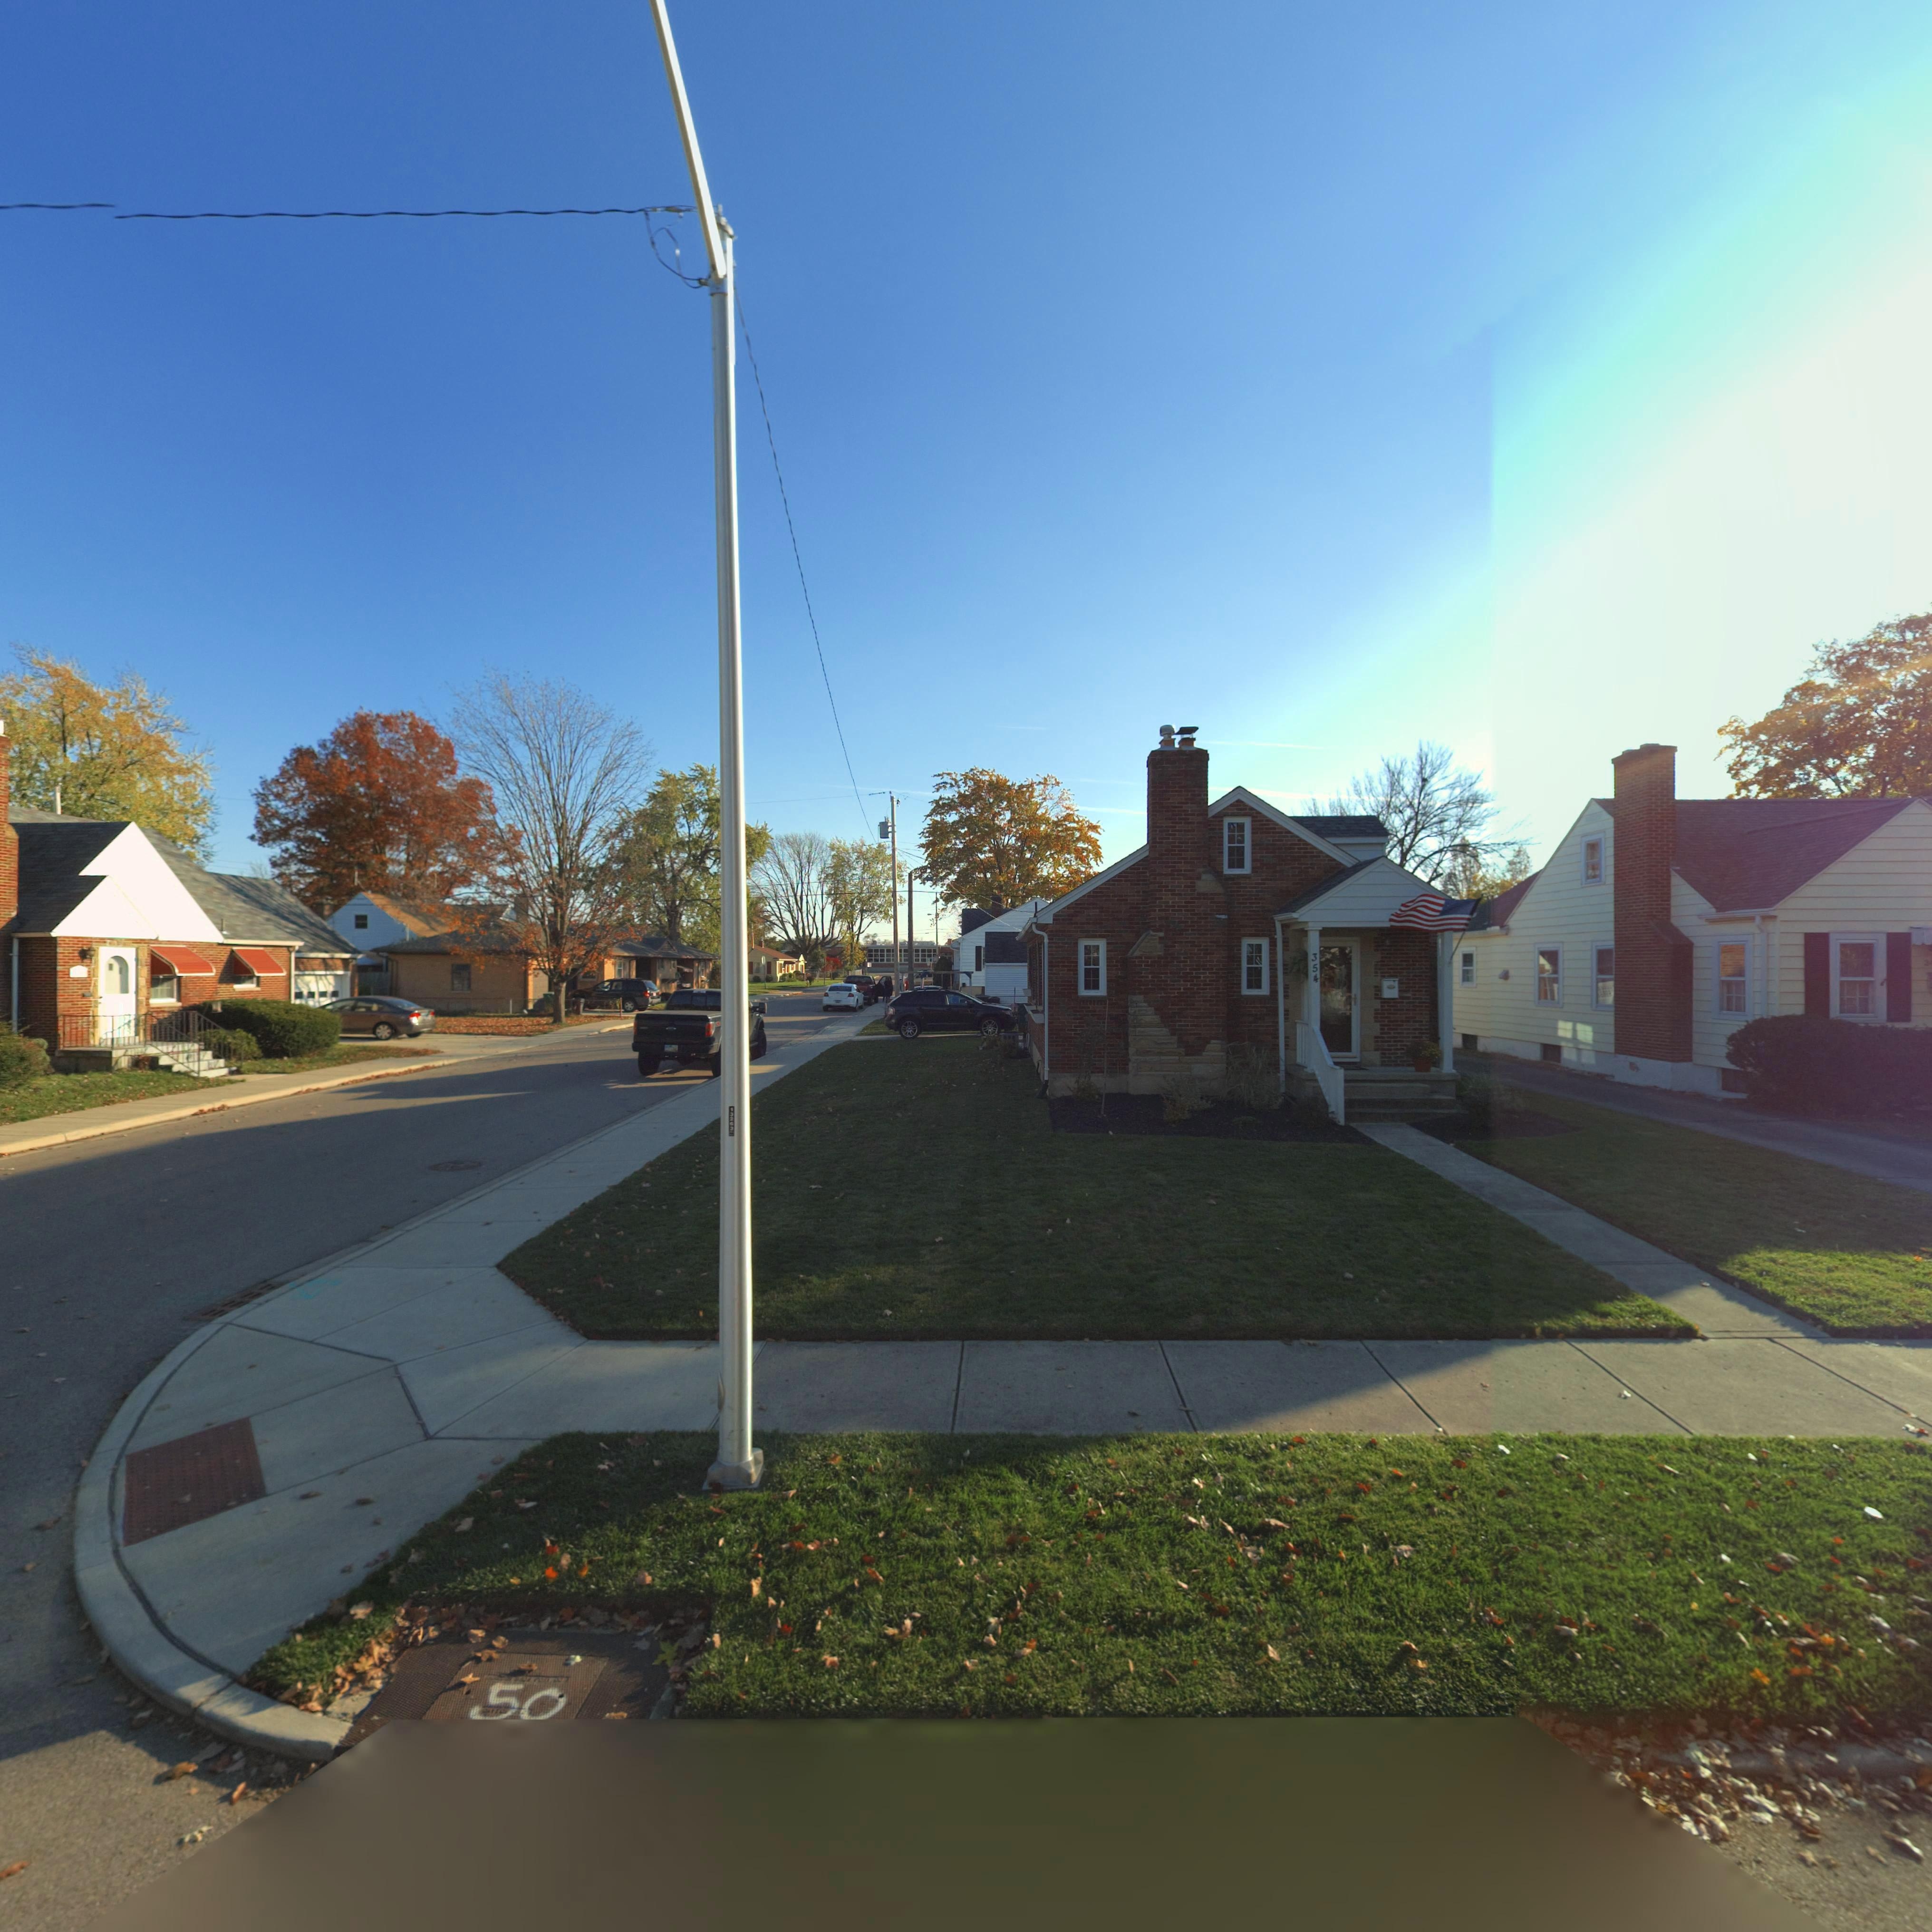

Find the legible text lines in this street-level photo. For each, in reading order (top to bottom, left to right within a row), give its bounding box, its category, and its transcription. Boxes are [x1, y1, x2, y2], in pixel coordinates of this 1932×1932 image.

[1310, 951, 1321, 985] StreetNumber: 354